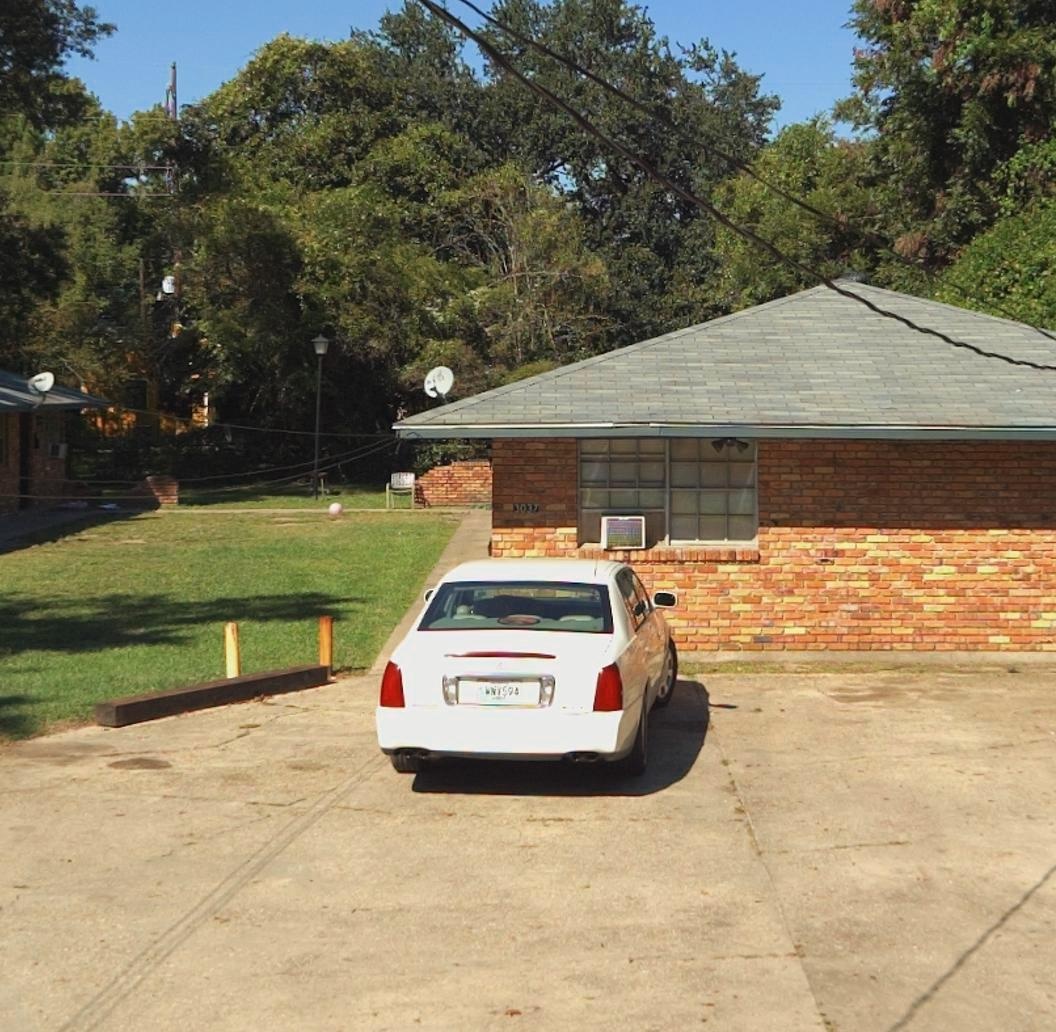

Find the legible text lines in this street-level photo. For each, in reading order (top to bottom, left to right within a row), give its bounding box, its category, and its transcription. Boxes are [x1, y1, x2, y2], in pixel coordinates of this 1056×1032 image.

[513, 503, 539, 514] StreetNumber: 3037
[483, 684, 520, 698] None: WNY594